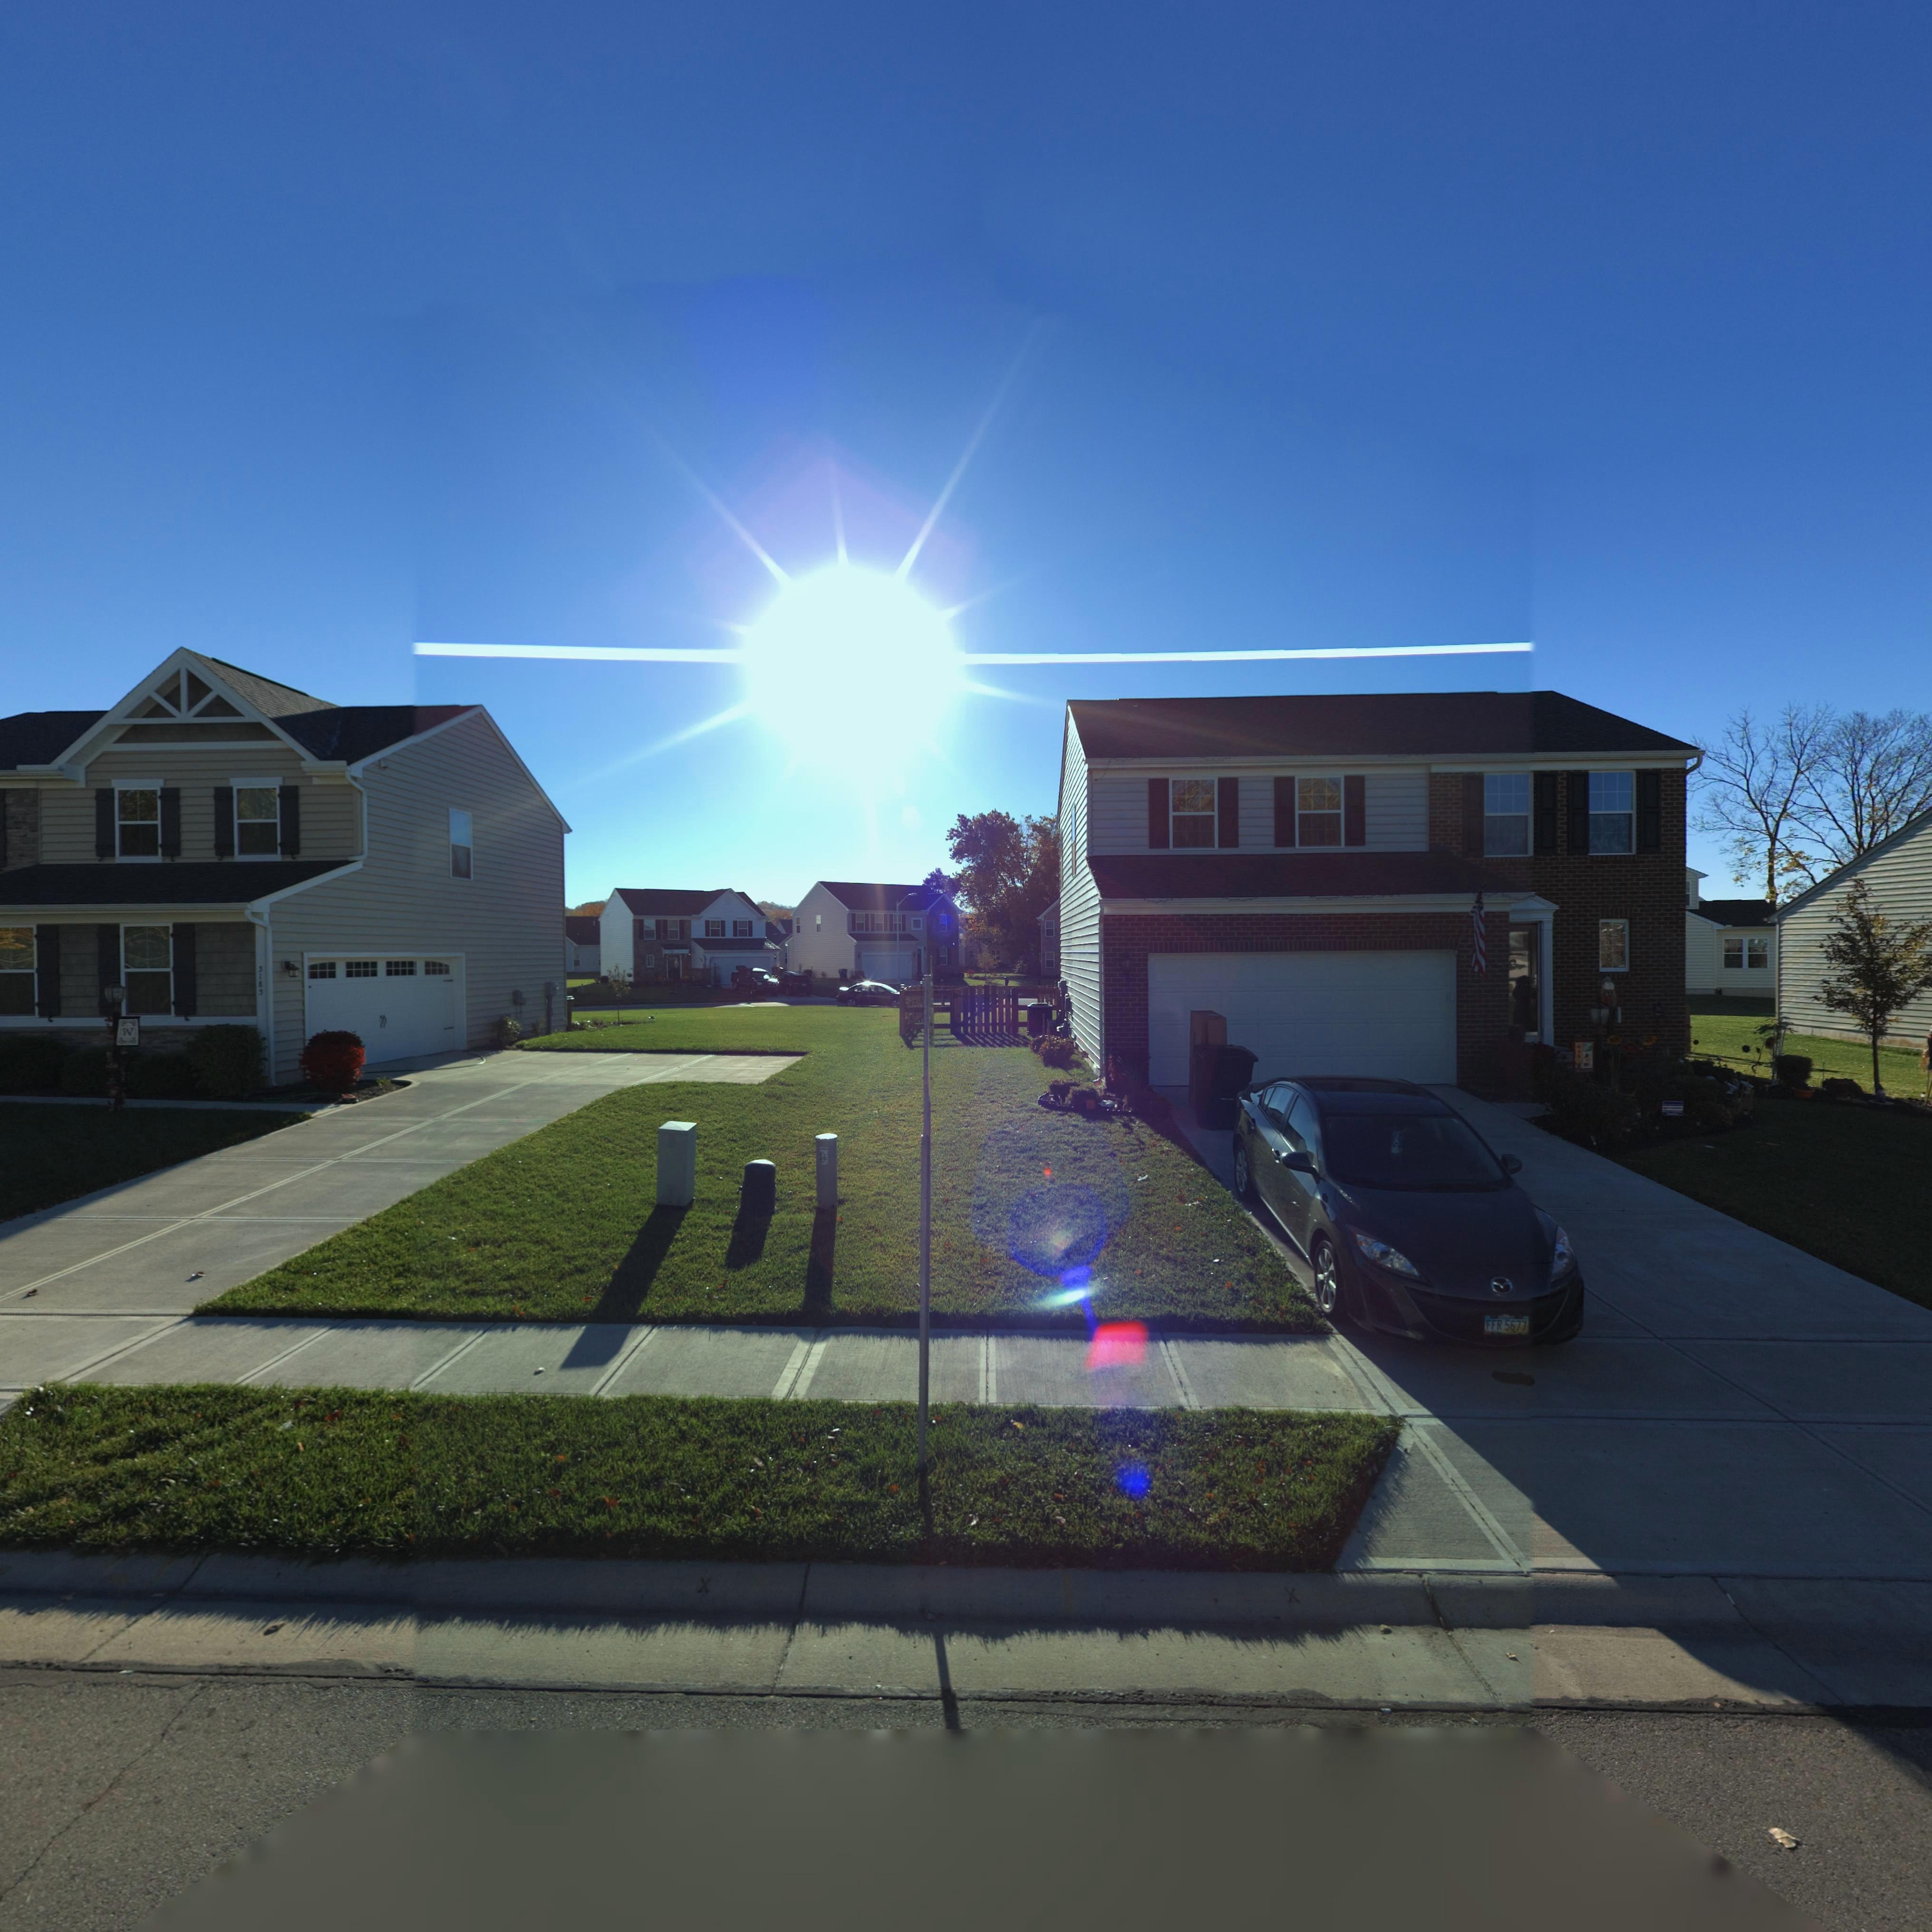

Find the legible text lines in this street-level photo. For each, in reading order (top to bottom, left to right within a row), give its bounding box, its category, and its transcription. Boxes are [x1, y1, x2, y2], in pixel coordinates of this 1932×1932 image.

[257, 965, 264, 996] StreetNumber: 5185